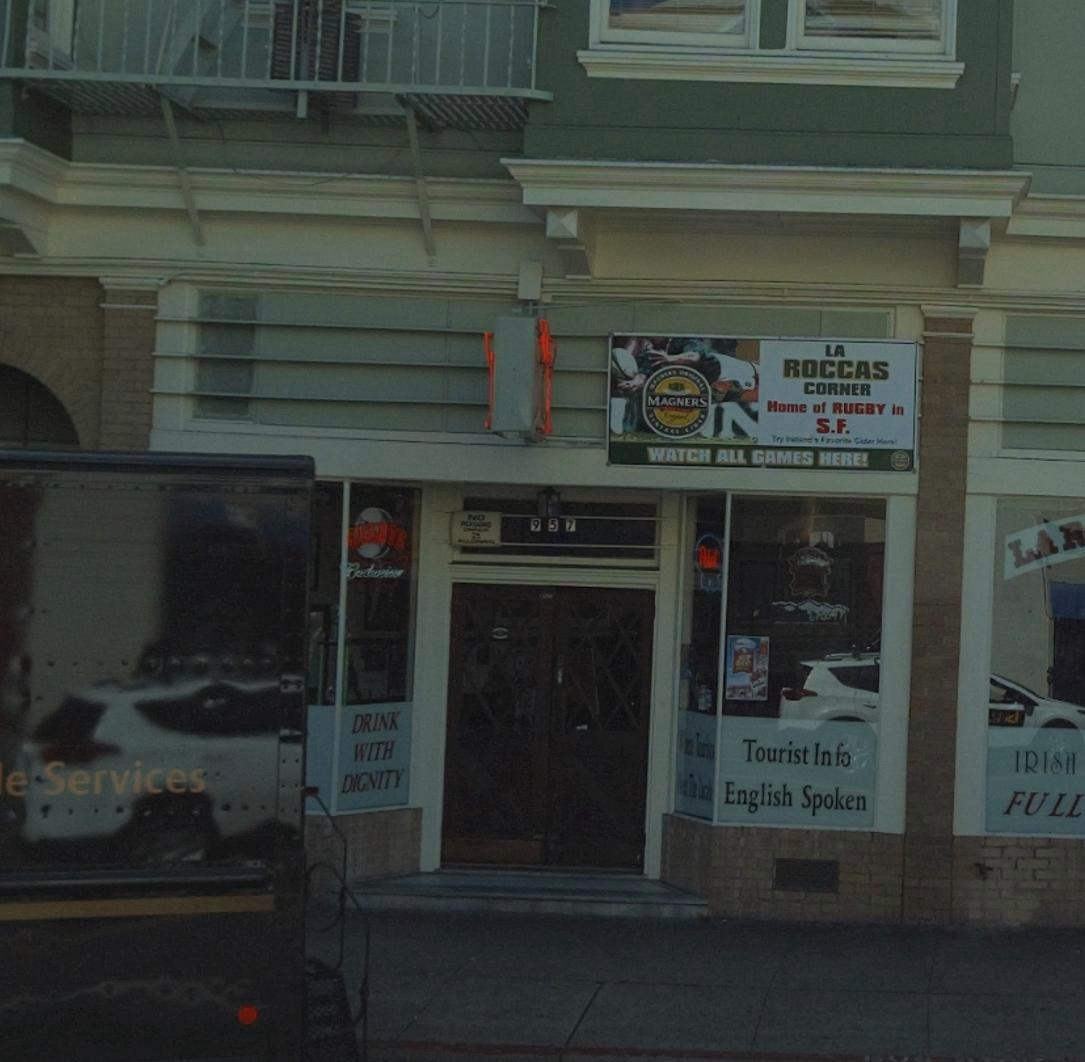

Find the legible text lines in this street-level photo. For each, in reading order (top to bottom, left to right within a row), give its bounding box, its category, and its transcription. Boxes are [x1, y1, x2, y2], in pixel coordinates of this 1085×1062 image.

[823, 343, 846, 358] BusinessName: LA
[782, 357, 890, 380] BusinessName: ROCCAS
[801, 380, 872, 397] BusinessName: CORNER
[646, 395, 708, 408] None: MAGNERS
[765, 398, 906, 416] None: Home of RUGBY in
[815, 417, 852, 435] None: S.F.
[645, 446, 870, 469] None: WATCH ALL GAMES HERE!
[346, 517, 414, 555] None: *IA*TS
[466, 513, 486, 523] None: NO
[530, 516, 576, 533] StreetNumber: 957
[697, 545, 720, 571] None: B***
[1003, 526, 1065, 570] None: LA
[344, 561, 411, 580] None: Budw*****
[350, 710, 404, 734] None: DRINK
[353, 739, 396, 763] None: WITH
[741, 737, 852, 768] None: TouristInfo
[1014, 749, 1079, 776] None: IRISH
[2, 757, 208, 799] None: e Services
[340, 766, 407, 794] None: DIGNITY
[723, 779, 869, 818] None: EnglishSpoken
[999, 788, 1084, 819] None: FULL